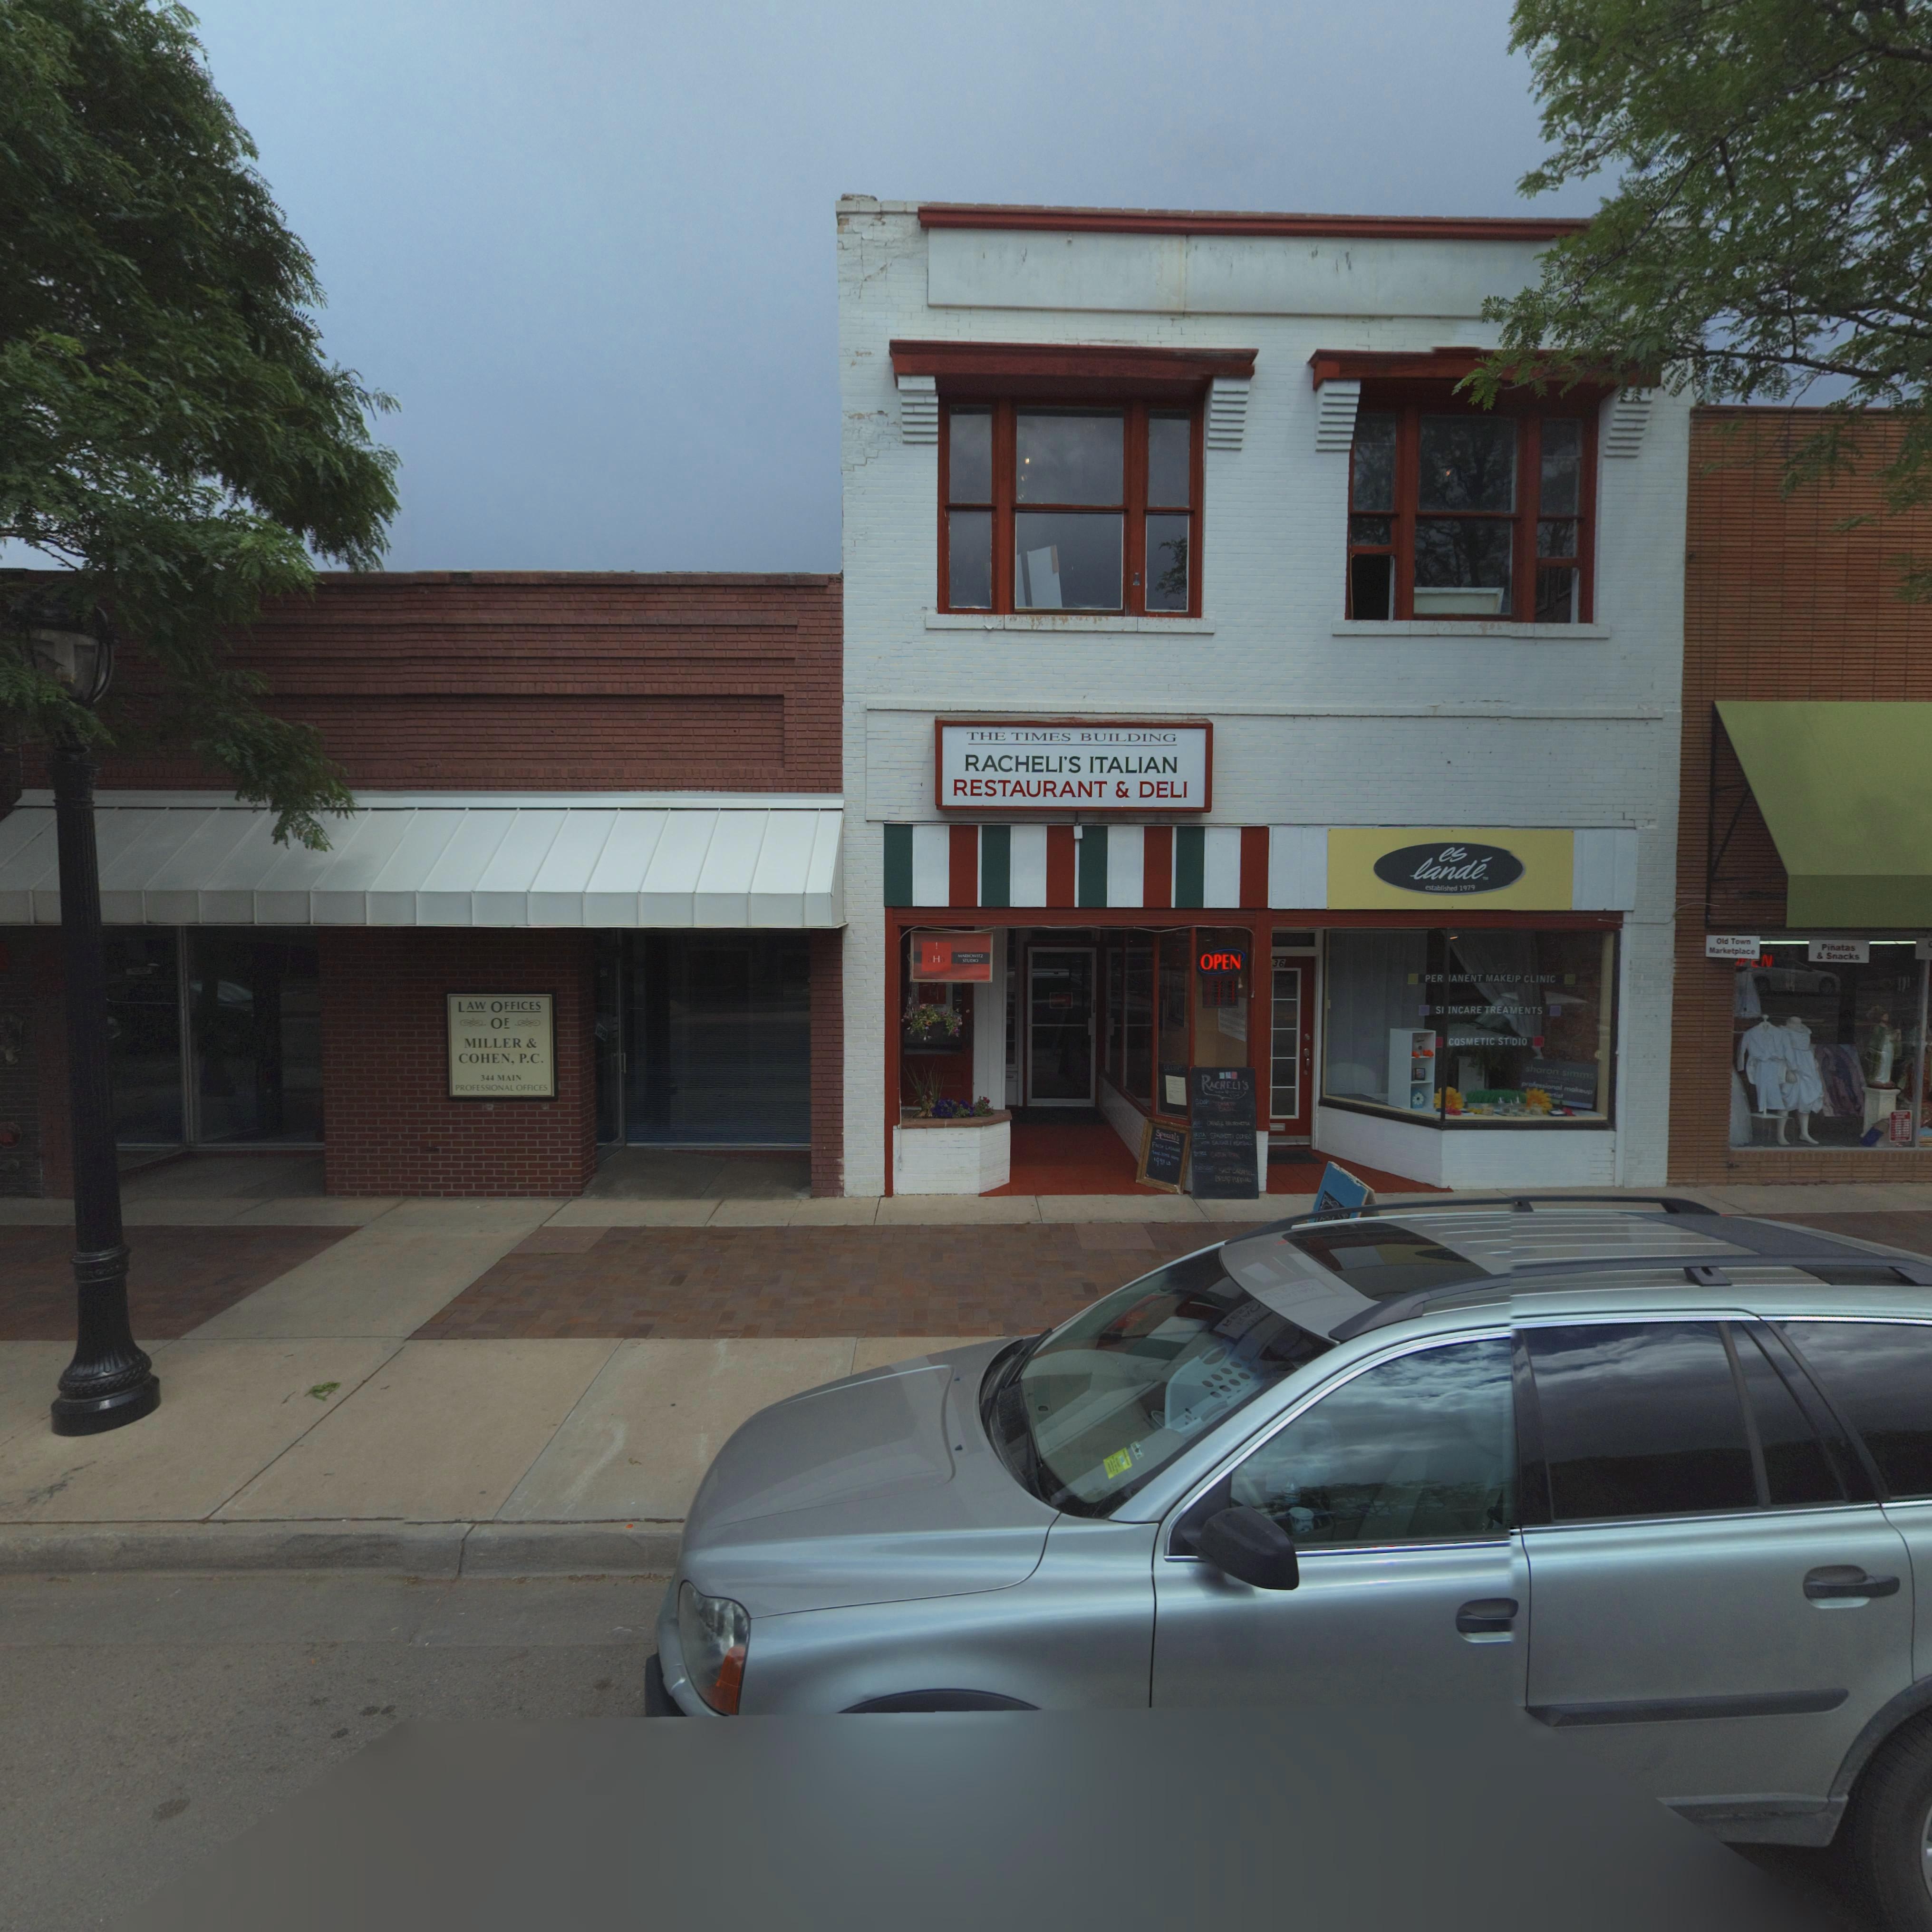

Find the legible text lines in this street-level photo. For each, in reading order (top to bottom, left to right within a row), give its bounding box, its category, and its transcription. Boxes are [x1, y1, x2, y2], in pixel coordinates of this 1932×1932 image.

[964, 753, 1178, 774] BusinessName: RACHELI'S ITALIAN
[1437, 846, 1468, 862] BusinessName: es
[1409, 856, 1493, 880] BusinessName: lande
[1716, 937, 1751, 945] BusinessName: Old Town
[1709, 947, 1755, 956] BusinessName: Marketplace
[1268, 959, 1285, 967] StreetNumber: *36
[458, 1000, 541, 1013] BusinessName: LAW OFFICES
[490, 1017, 509, 1030] BusinessName: OF
[464, 1037, 537, 1048] BusinessName: MILLER &
[458, 1053, 544, 1064] BusinessName: COHEN, P.C.
[480, 1074, 494, 1081] StreetNumber: 344
[497, 1074, 522, 1081] StreetName: MAIN
[1201, 1073, 1249, 1092] BusinessName: RACHELI'S